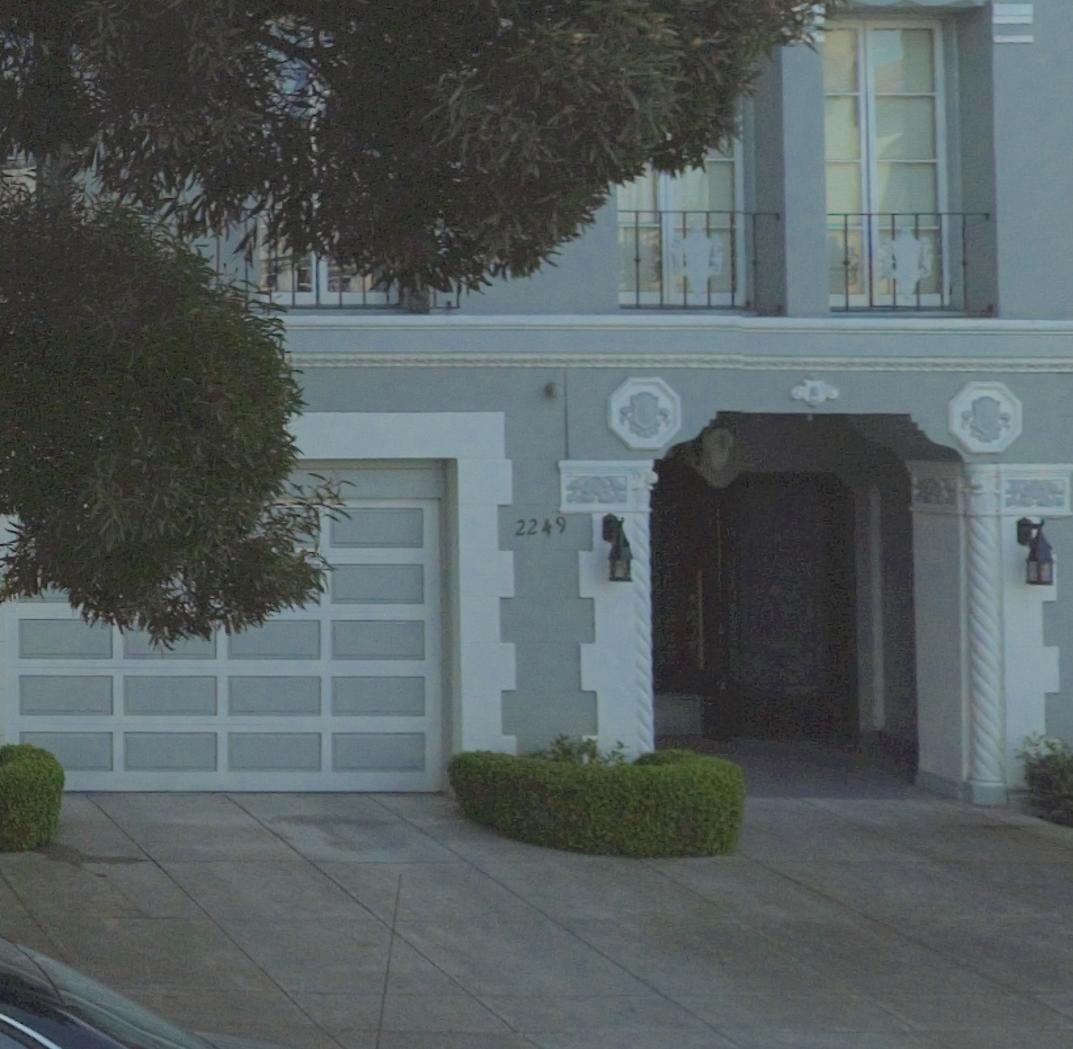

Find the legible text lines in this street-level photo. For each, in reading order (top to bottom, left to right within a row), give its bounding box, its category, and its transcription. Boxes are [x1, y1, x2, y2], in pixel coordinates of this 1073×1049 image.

[513, 514, 569, 538] StreetNumber: 2249